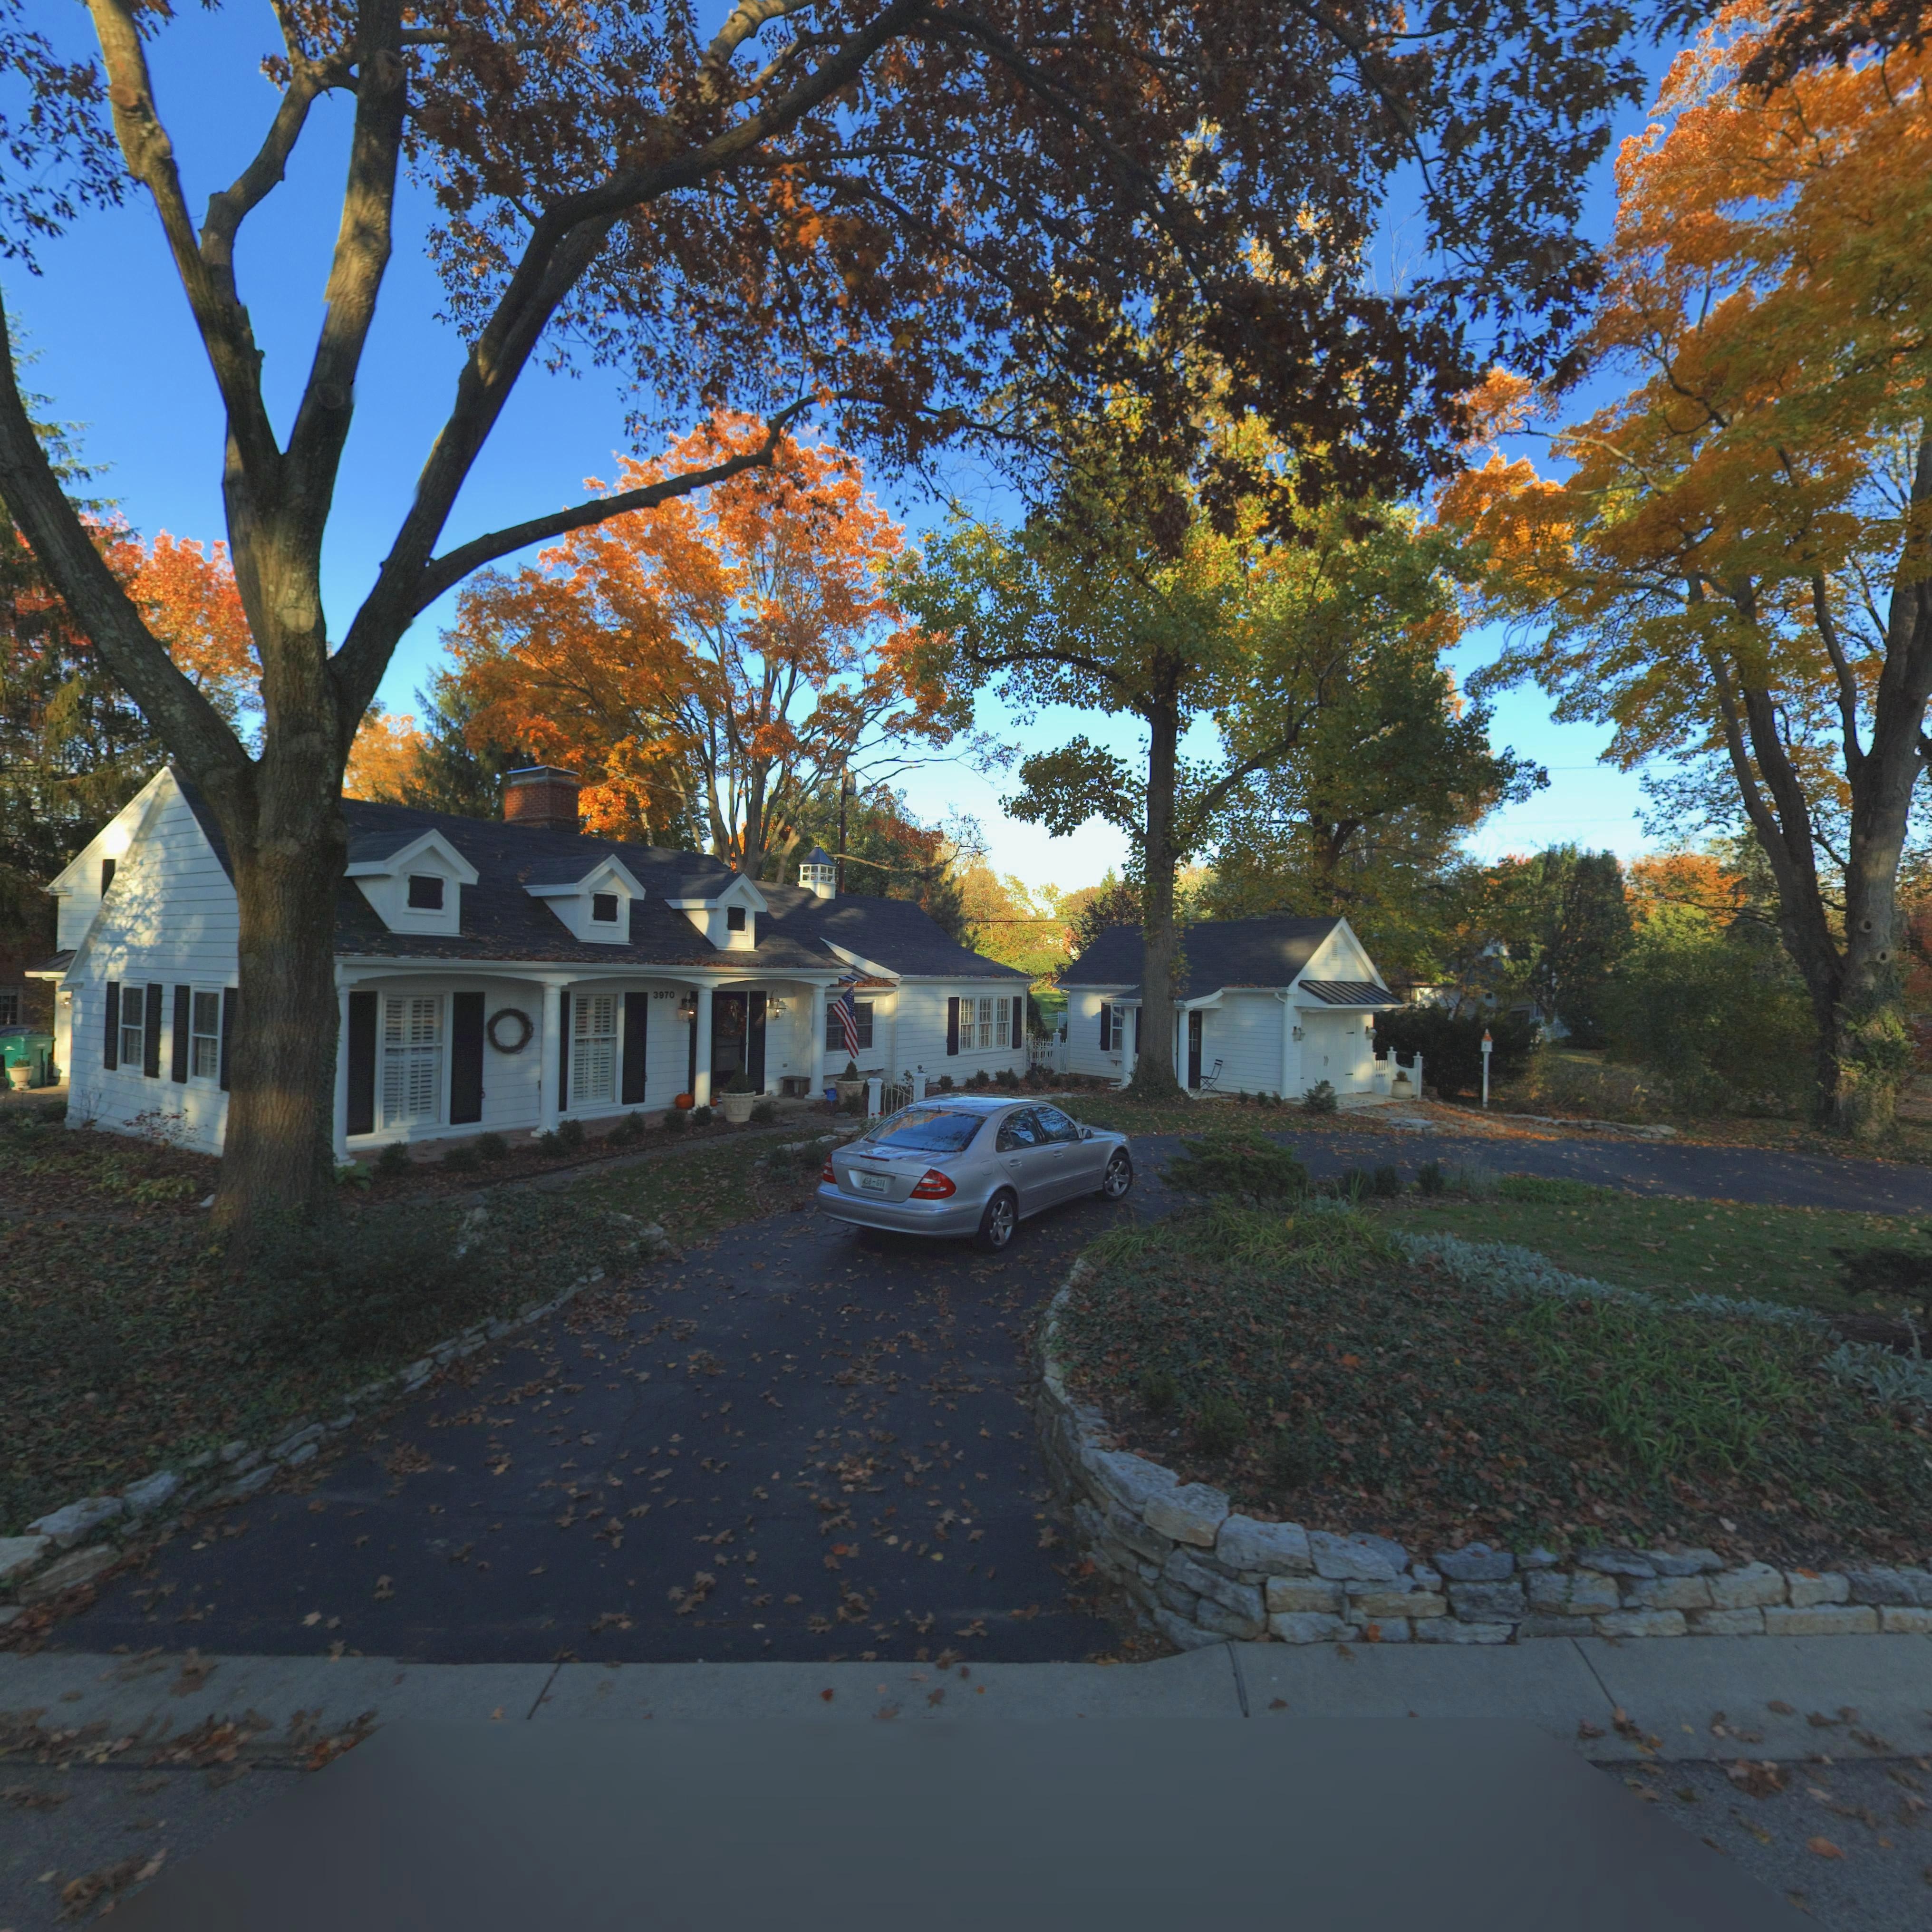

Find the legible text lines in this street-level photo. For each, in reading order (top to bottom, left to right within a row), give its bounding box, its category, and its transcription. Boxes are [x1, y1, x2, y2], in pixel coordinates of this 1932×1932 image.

[652, 990, 675, 999] StreetNumber: 3970